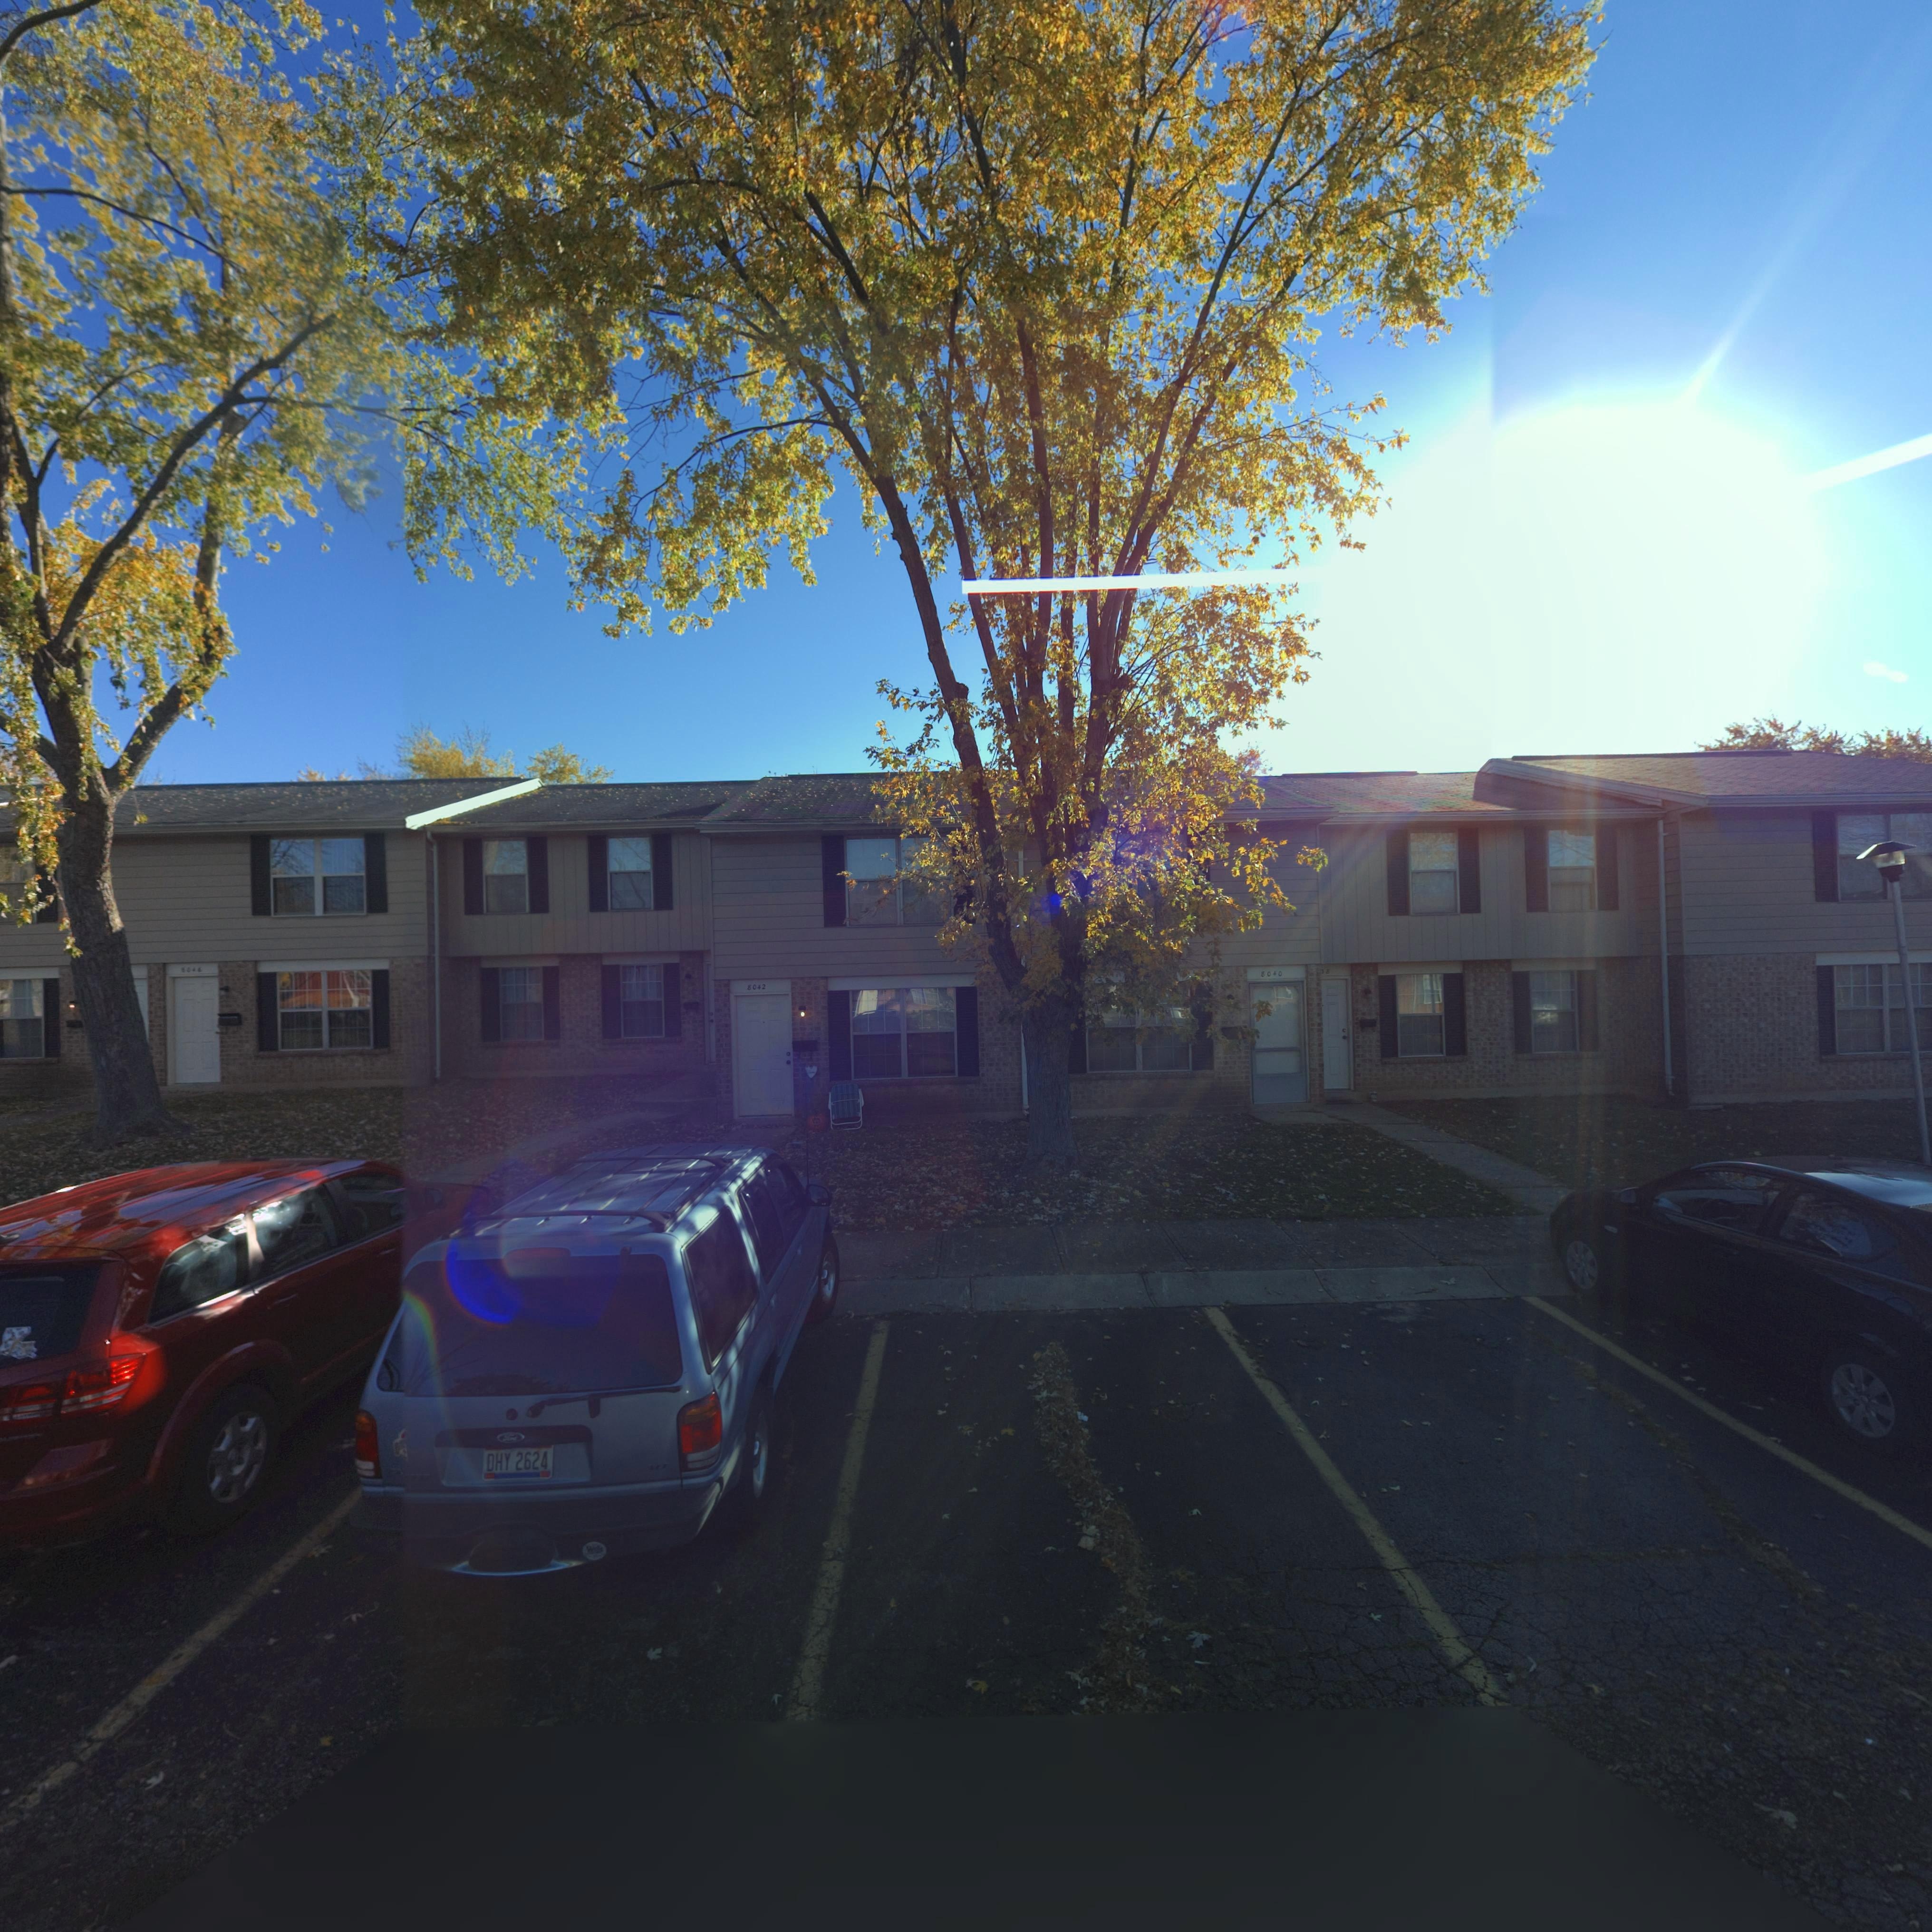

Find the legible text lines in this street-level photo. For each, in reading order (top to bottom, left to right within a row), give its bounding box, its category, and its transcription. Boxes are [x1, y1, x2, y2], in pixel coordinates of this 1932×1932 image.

[1260, 969, 1283, 979] StreetNumber: 8040
[1324, 968, 1331, 975] StreetNumber: 8
[746, 983, 767, 992] StreetNumber: 8042
[484, 1451, 550, 1475] None: DHY 2624